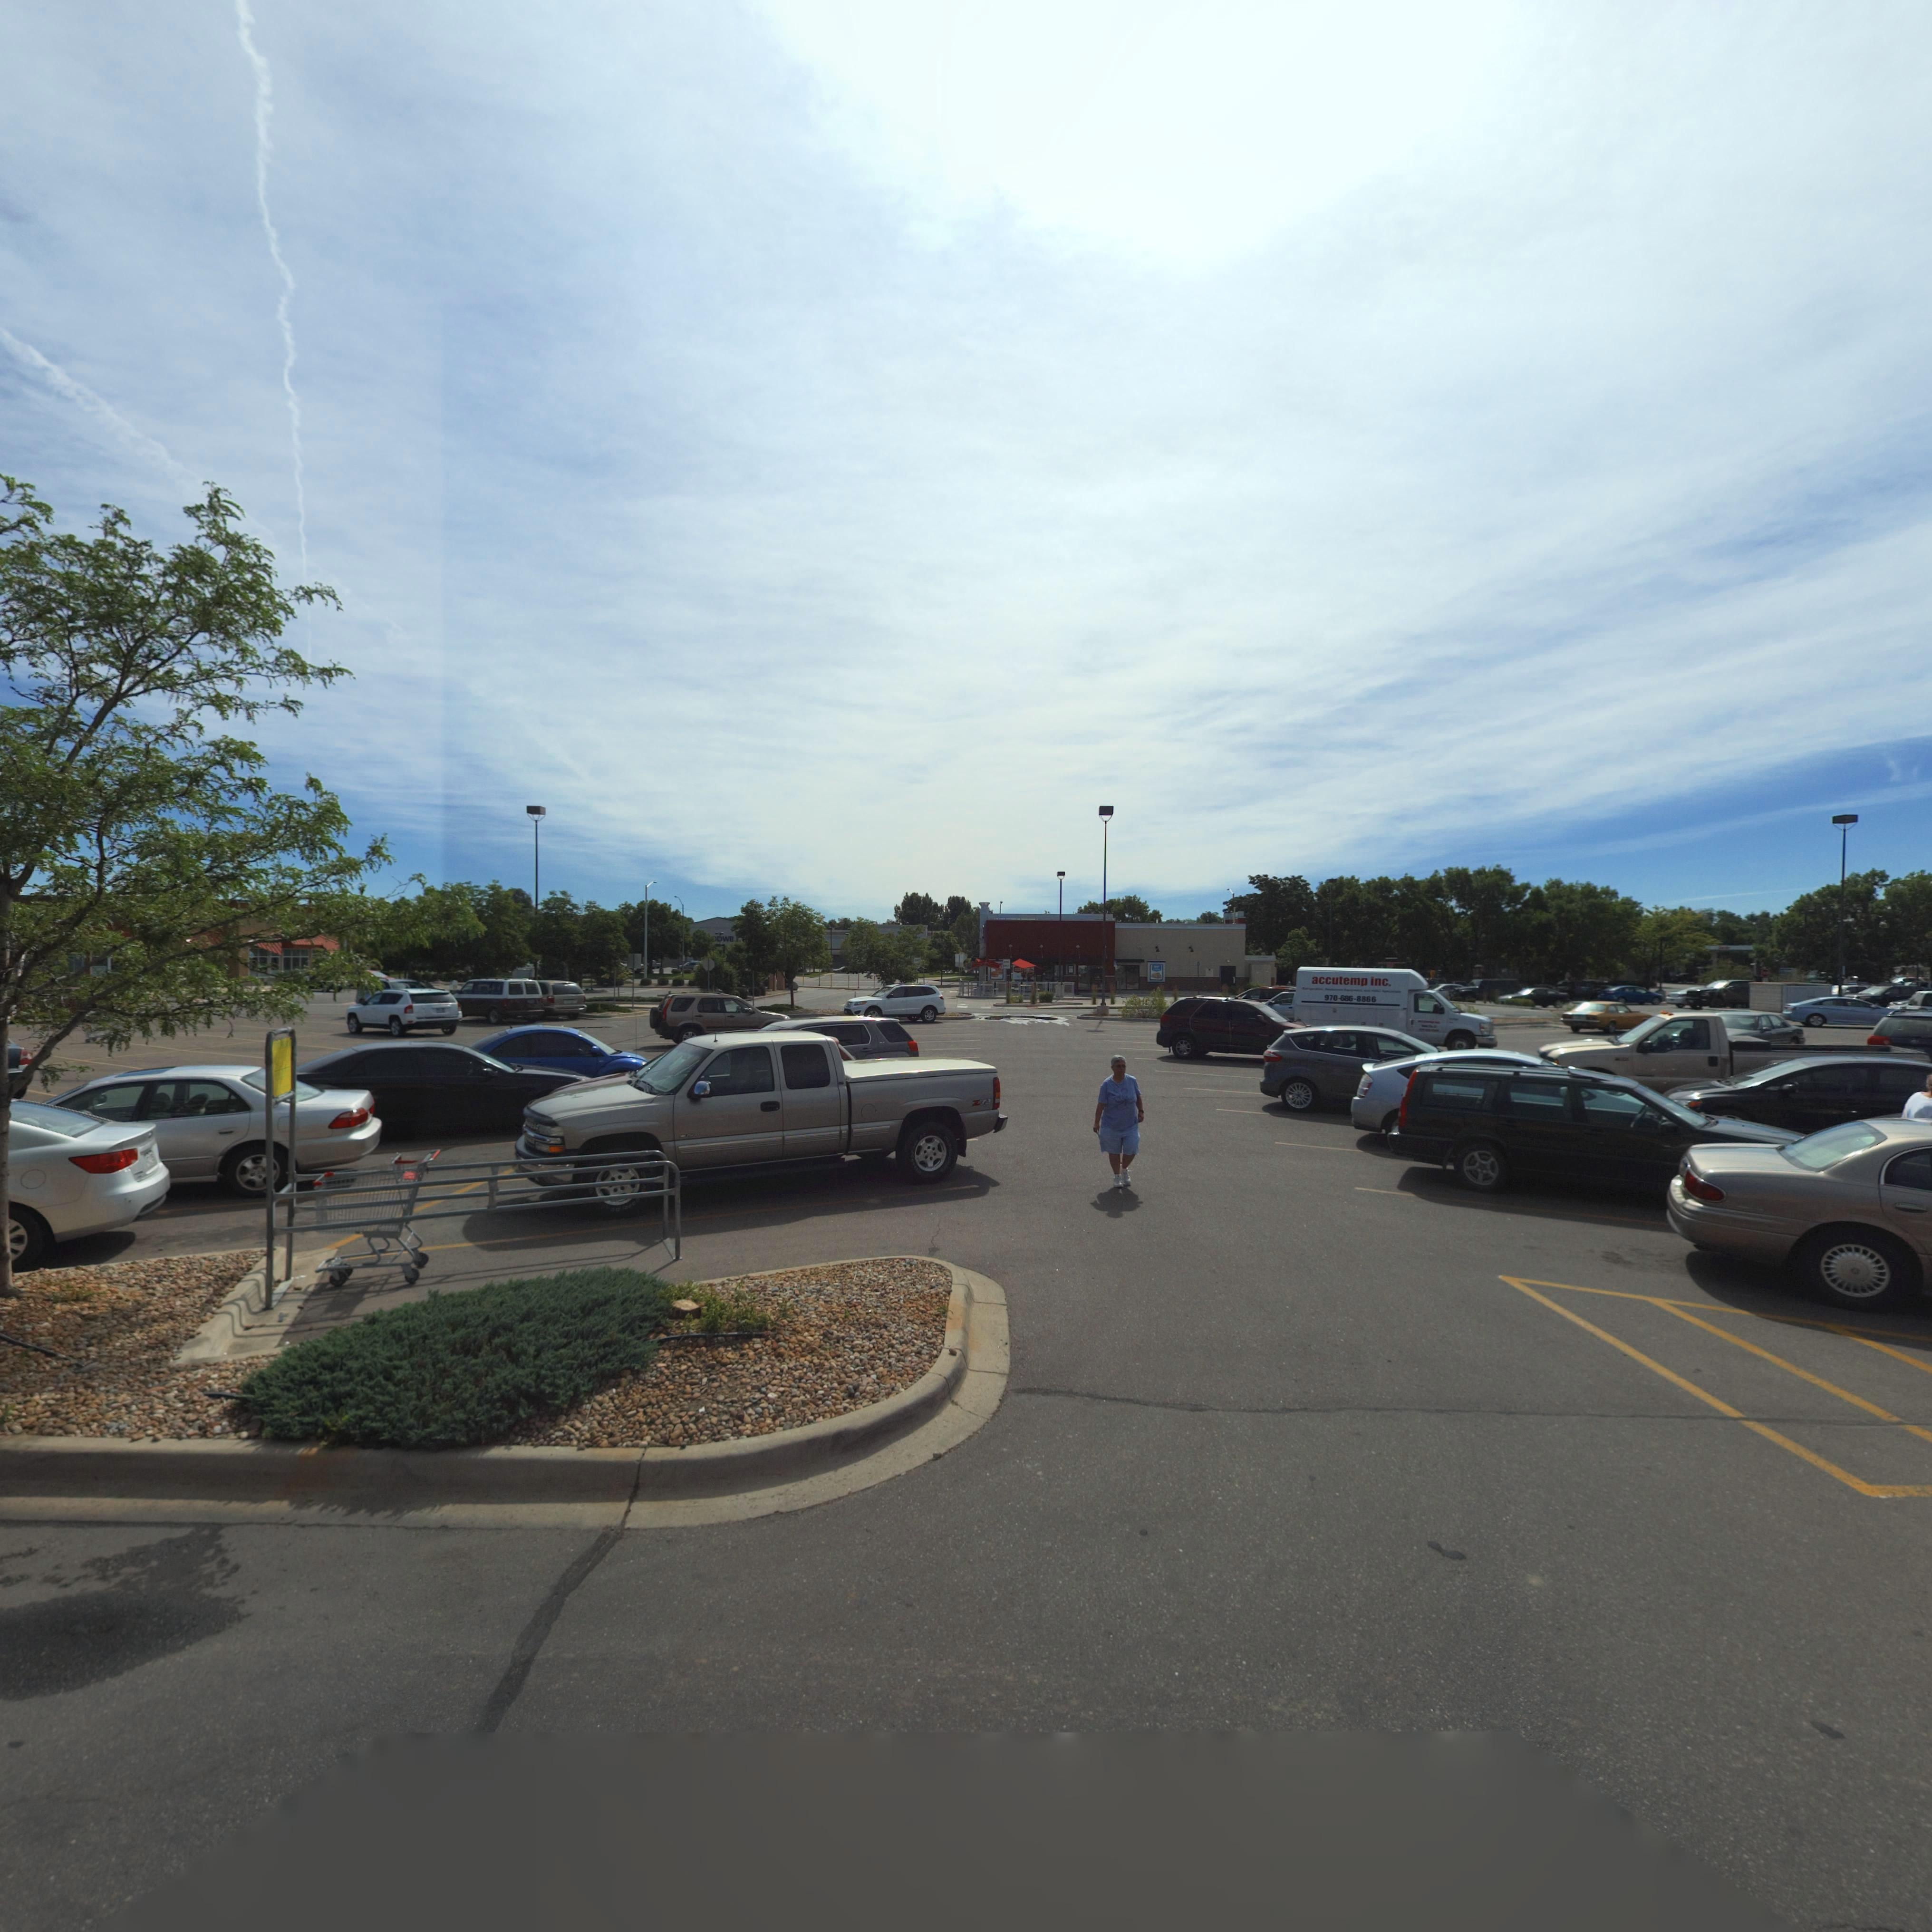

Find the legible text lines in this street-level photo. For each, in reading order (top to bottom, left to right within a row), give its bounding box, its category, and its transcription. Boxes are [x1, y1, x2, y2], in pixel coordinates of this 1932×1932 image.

[716, 936, 732, 942] BusinessName: DWI